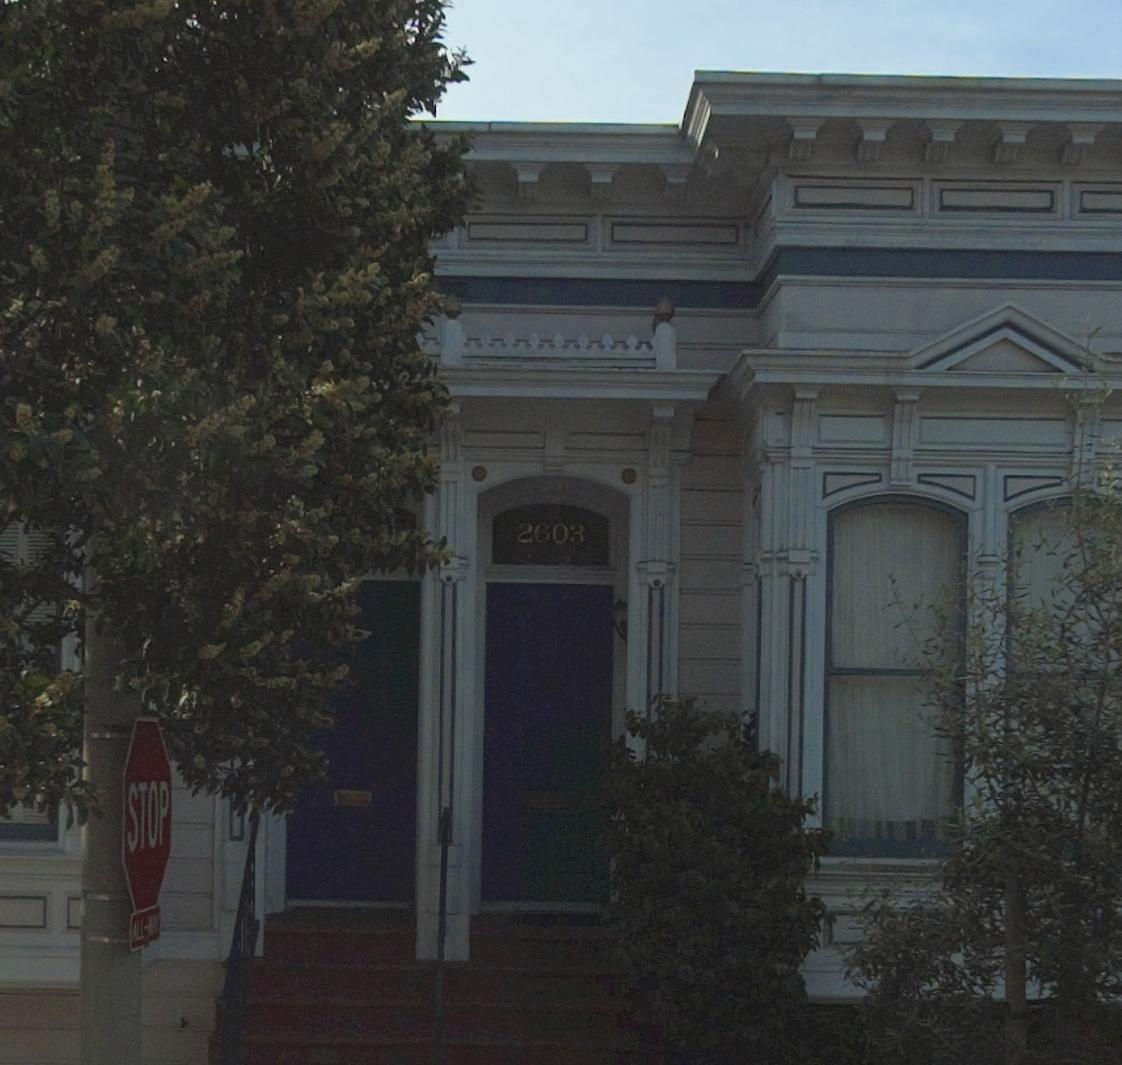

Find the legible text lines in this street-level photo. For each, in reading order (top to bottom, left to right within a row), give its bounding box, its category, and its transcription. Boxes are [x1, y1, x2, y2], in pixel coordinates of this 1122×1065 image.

[515, 519, 588, 548] StreetNumber: 2603
[124, 777, 172, 856] None: STOP
[128, 916, 147, 946] None: ALL